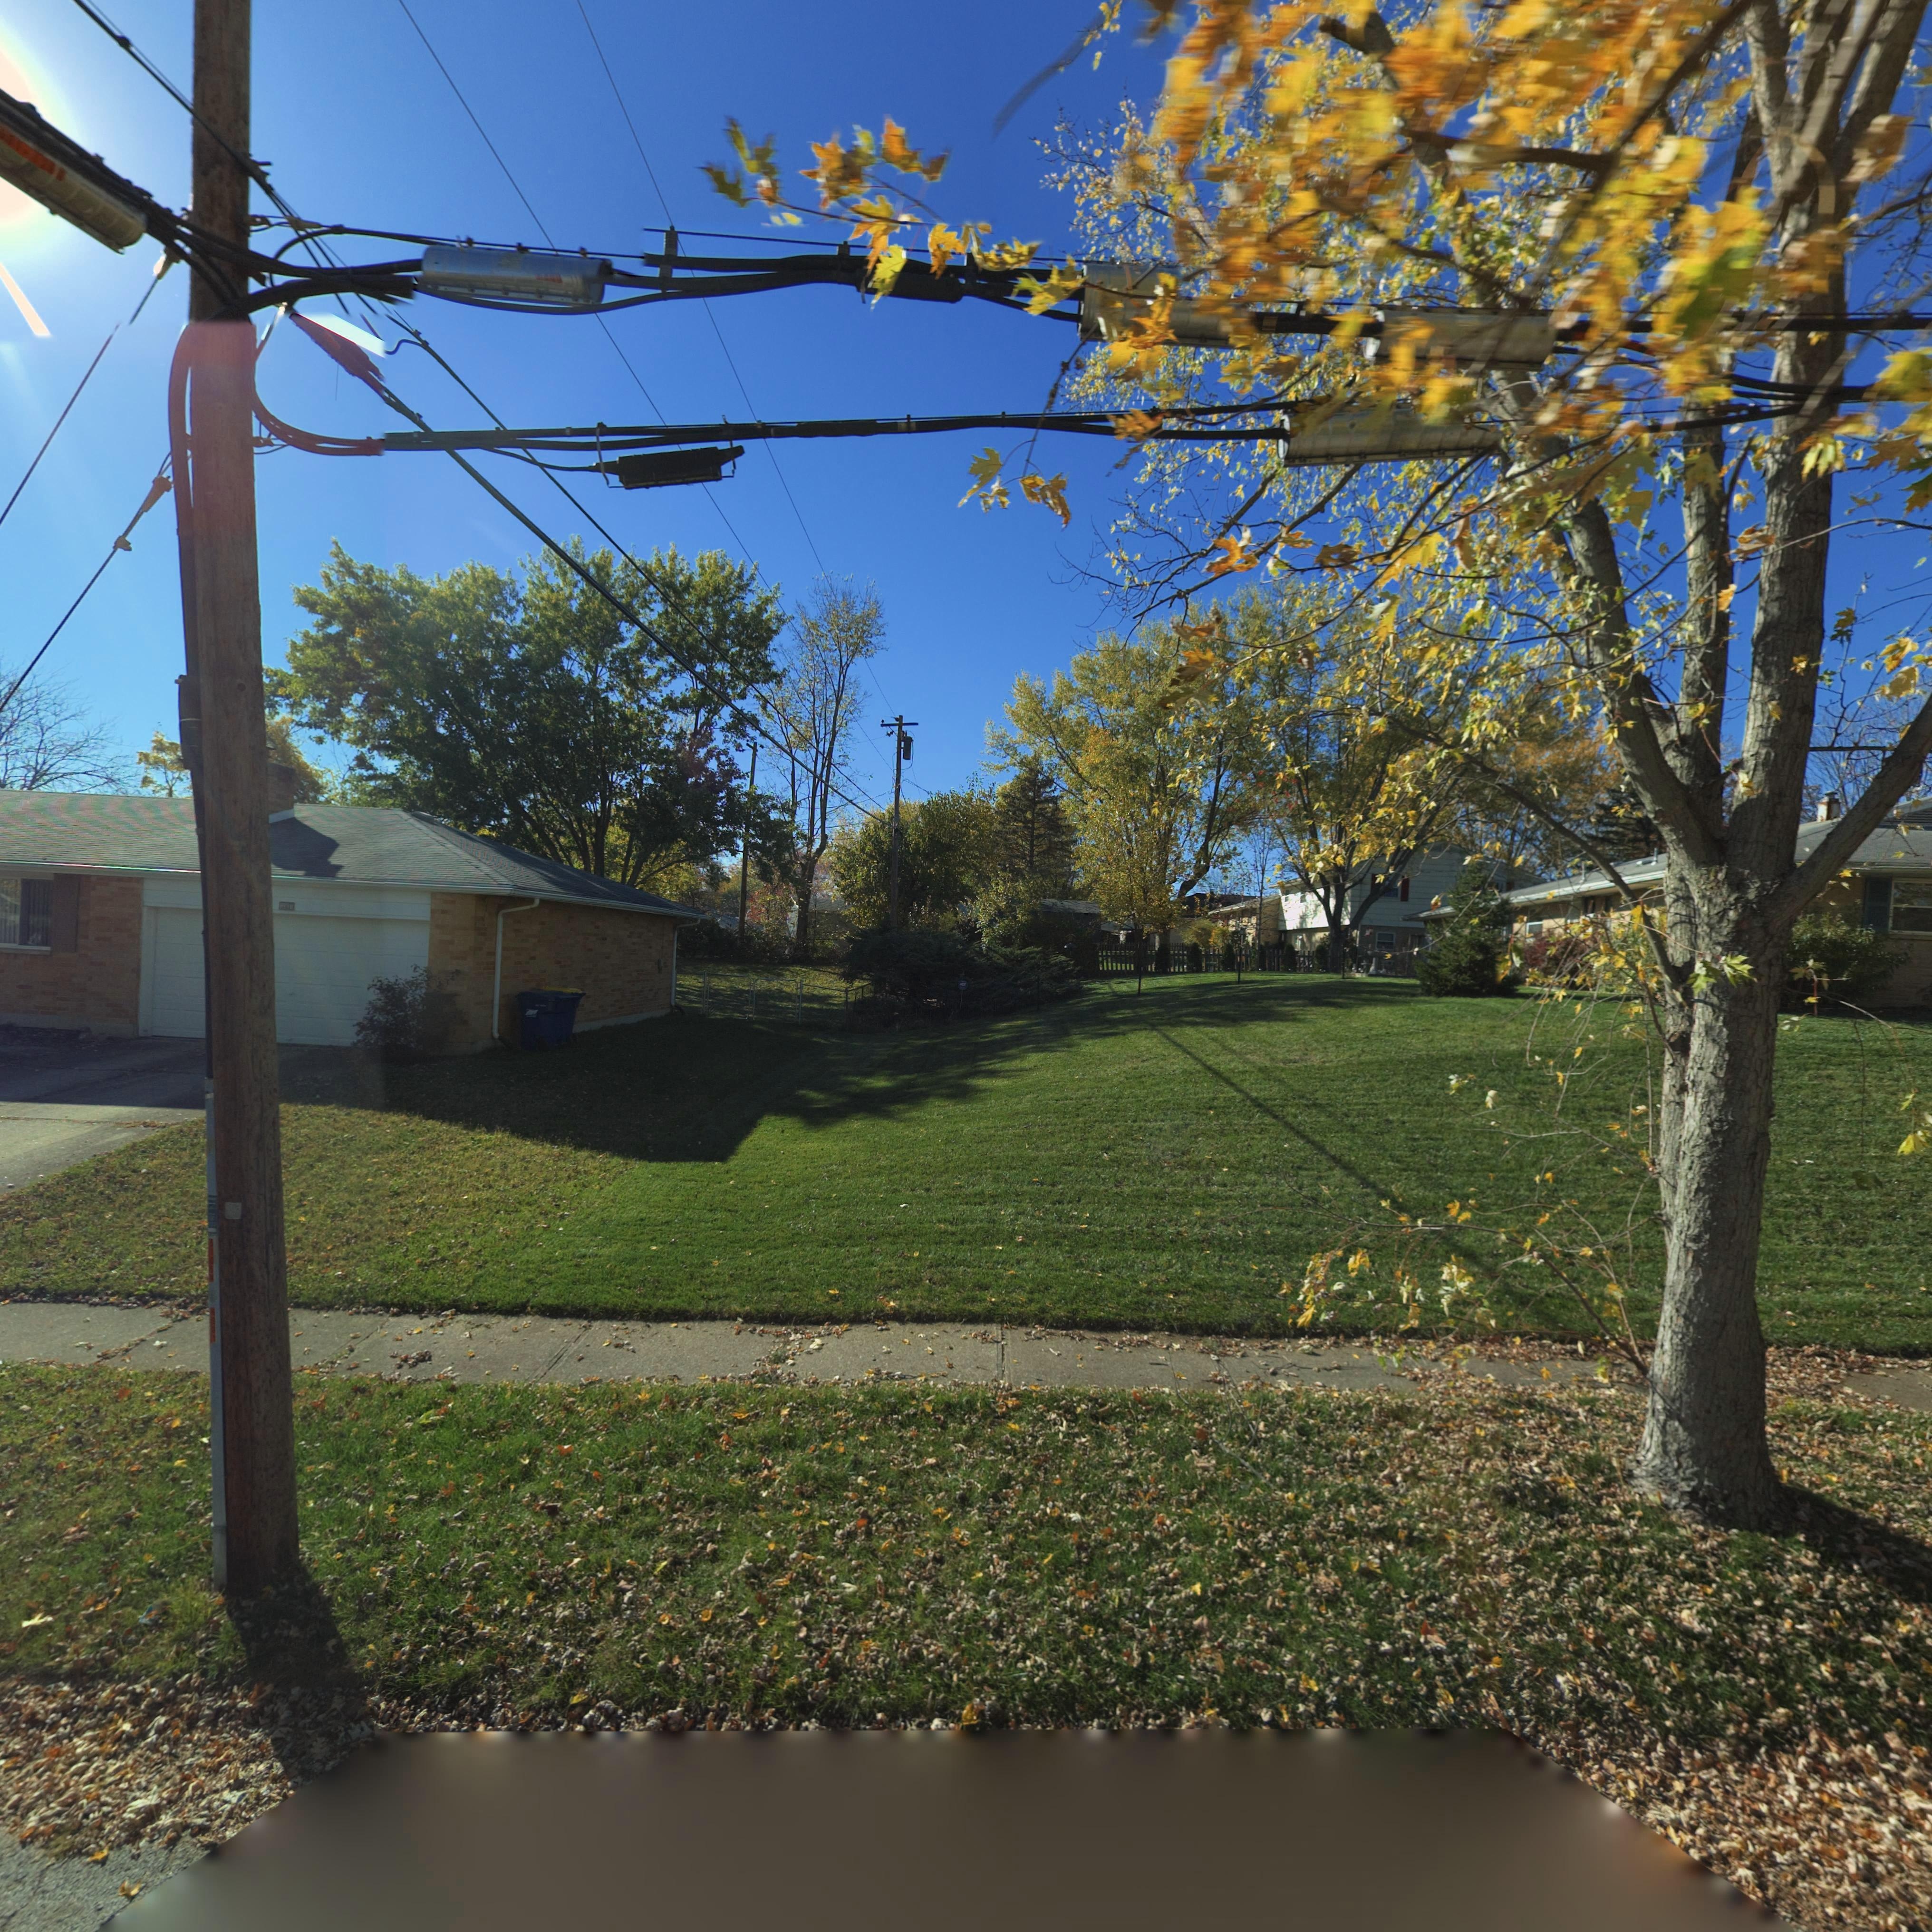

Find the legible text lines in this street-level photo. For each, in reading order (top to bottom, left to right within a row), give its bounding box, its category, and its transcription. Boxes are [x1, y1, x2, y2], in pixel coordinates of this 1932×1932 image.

[284, 903, 291, 909] StreetNumber: 01